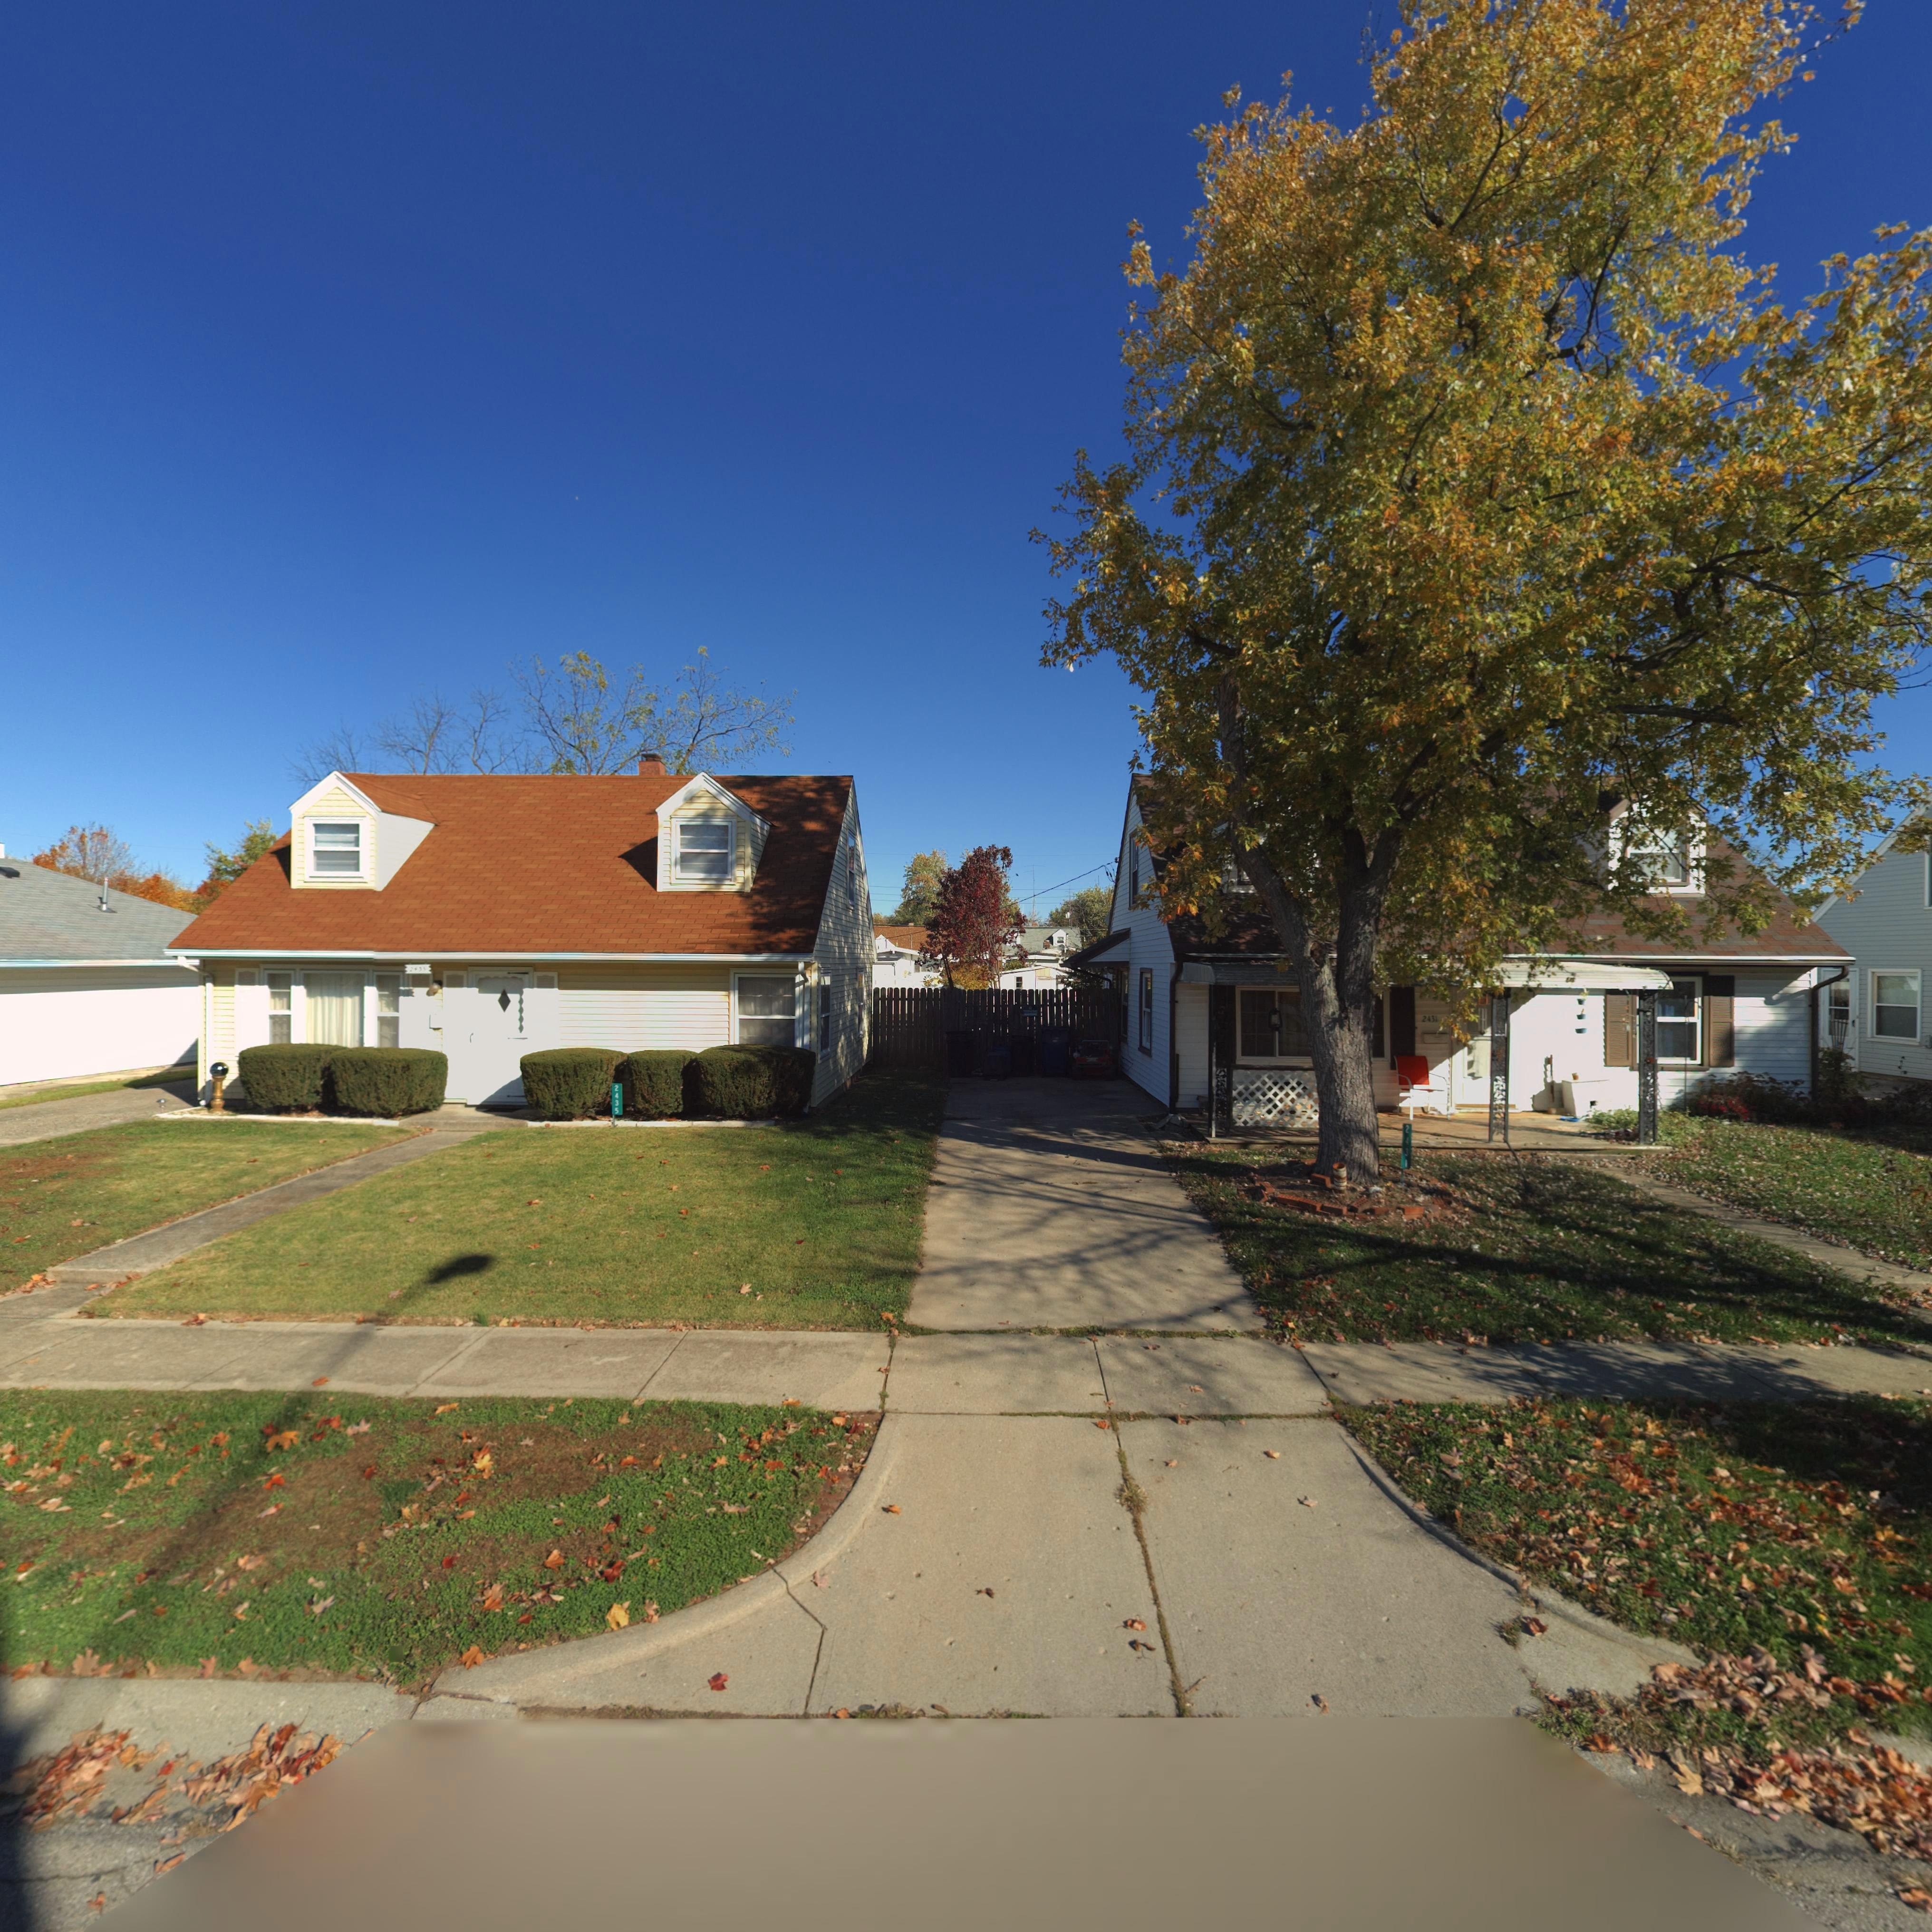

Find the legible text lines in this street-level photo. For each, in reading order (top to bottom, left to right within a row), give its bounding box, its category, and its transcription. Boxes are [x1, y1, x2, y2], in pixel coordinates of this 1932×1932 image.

[408, 966, 427, 973] StreetNumber: 2***
[1421, 1014, 1439, 1024] StreetNumber: 2431
[614, 1083, 620, 1115] StreetNumber: 2435
[1403, 1123, 1410, 1169] StreetNumber: 2431